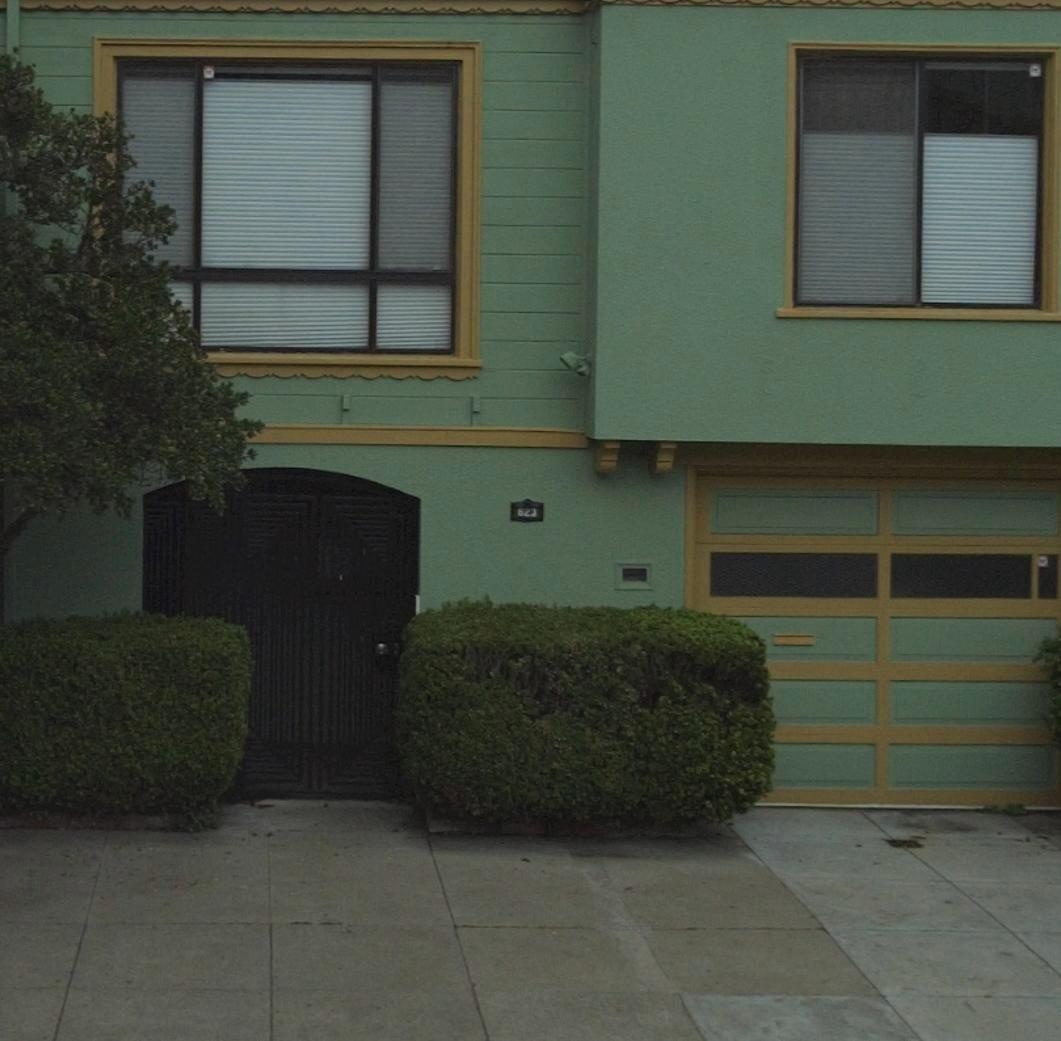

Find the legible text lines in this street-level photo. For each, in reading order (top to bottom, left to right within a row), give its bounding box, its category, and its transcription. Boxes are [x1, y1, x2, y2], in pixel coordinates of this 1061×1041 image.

[517, 508, 537, 517] StreetNumber: 623